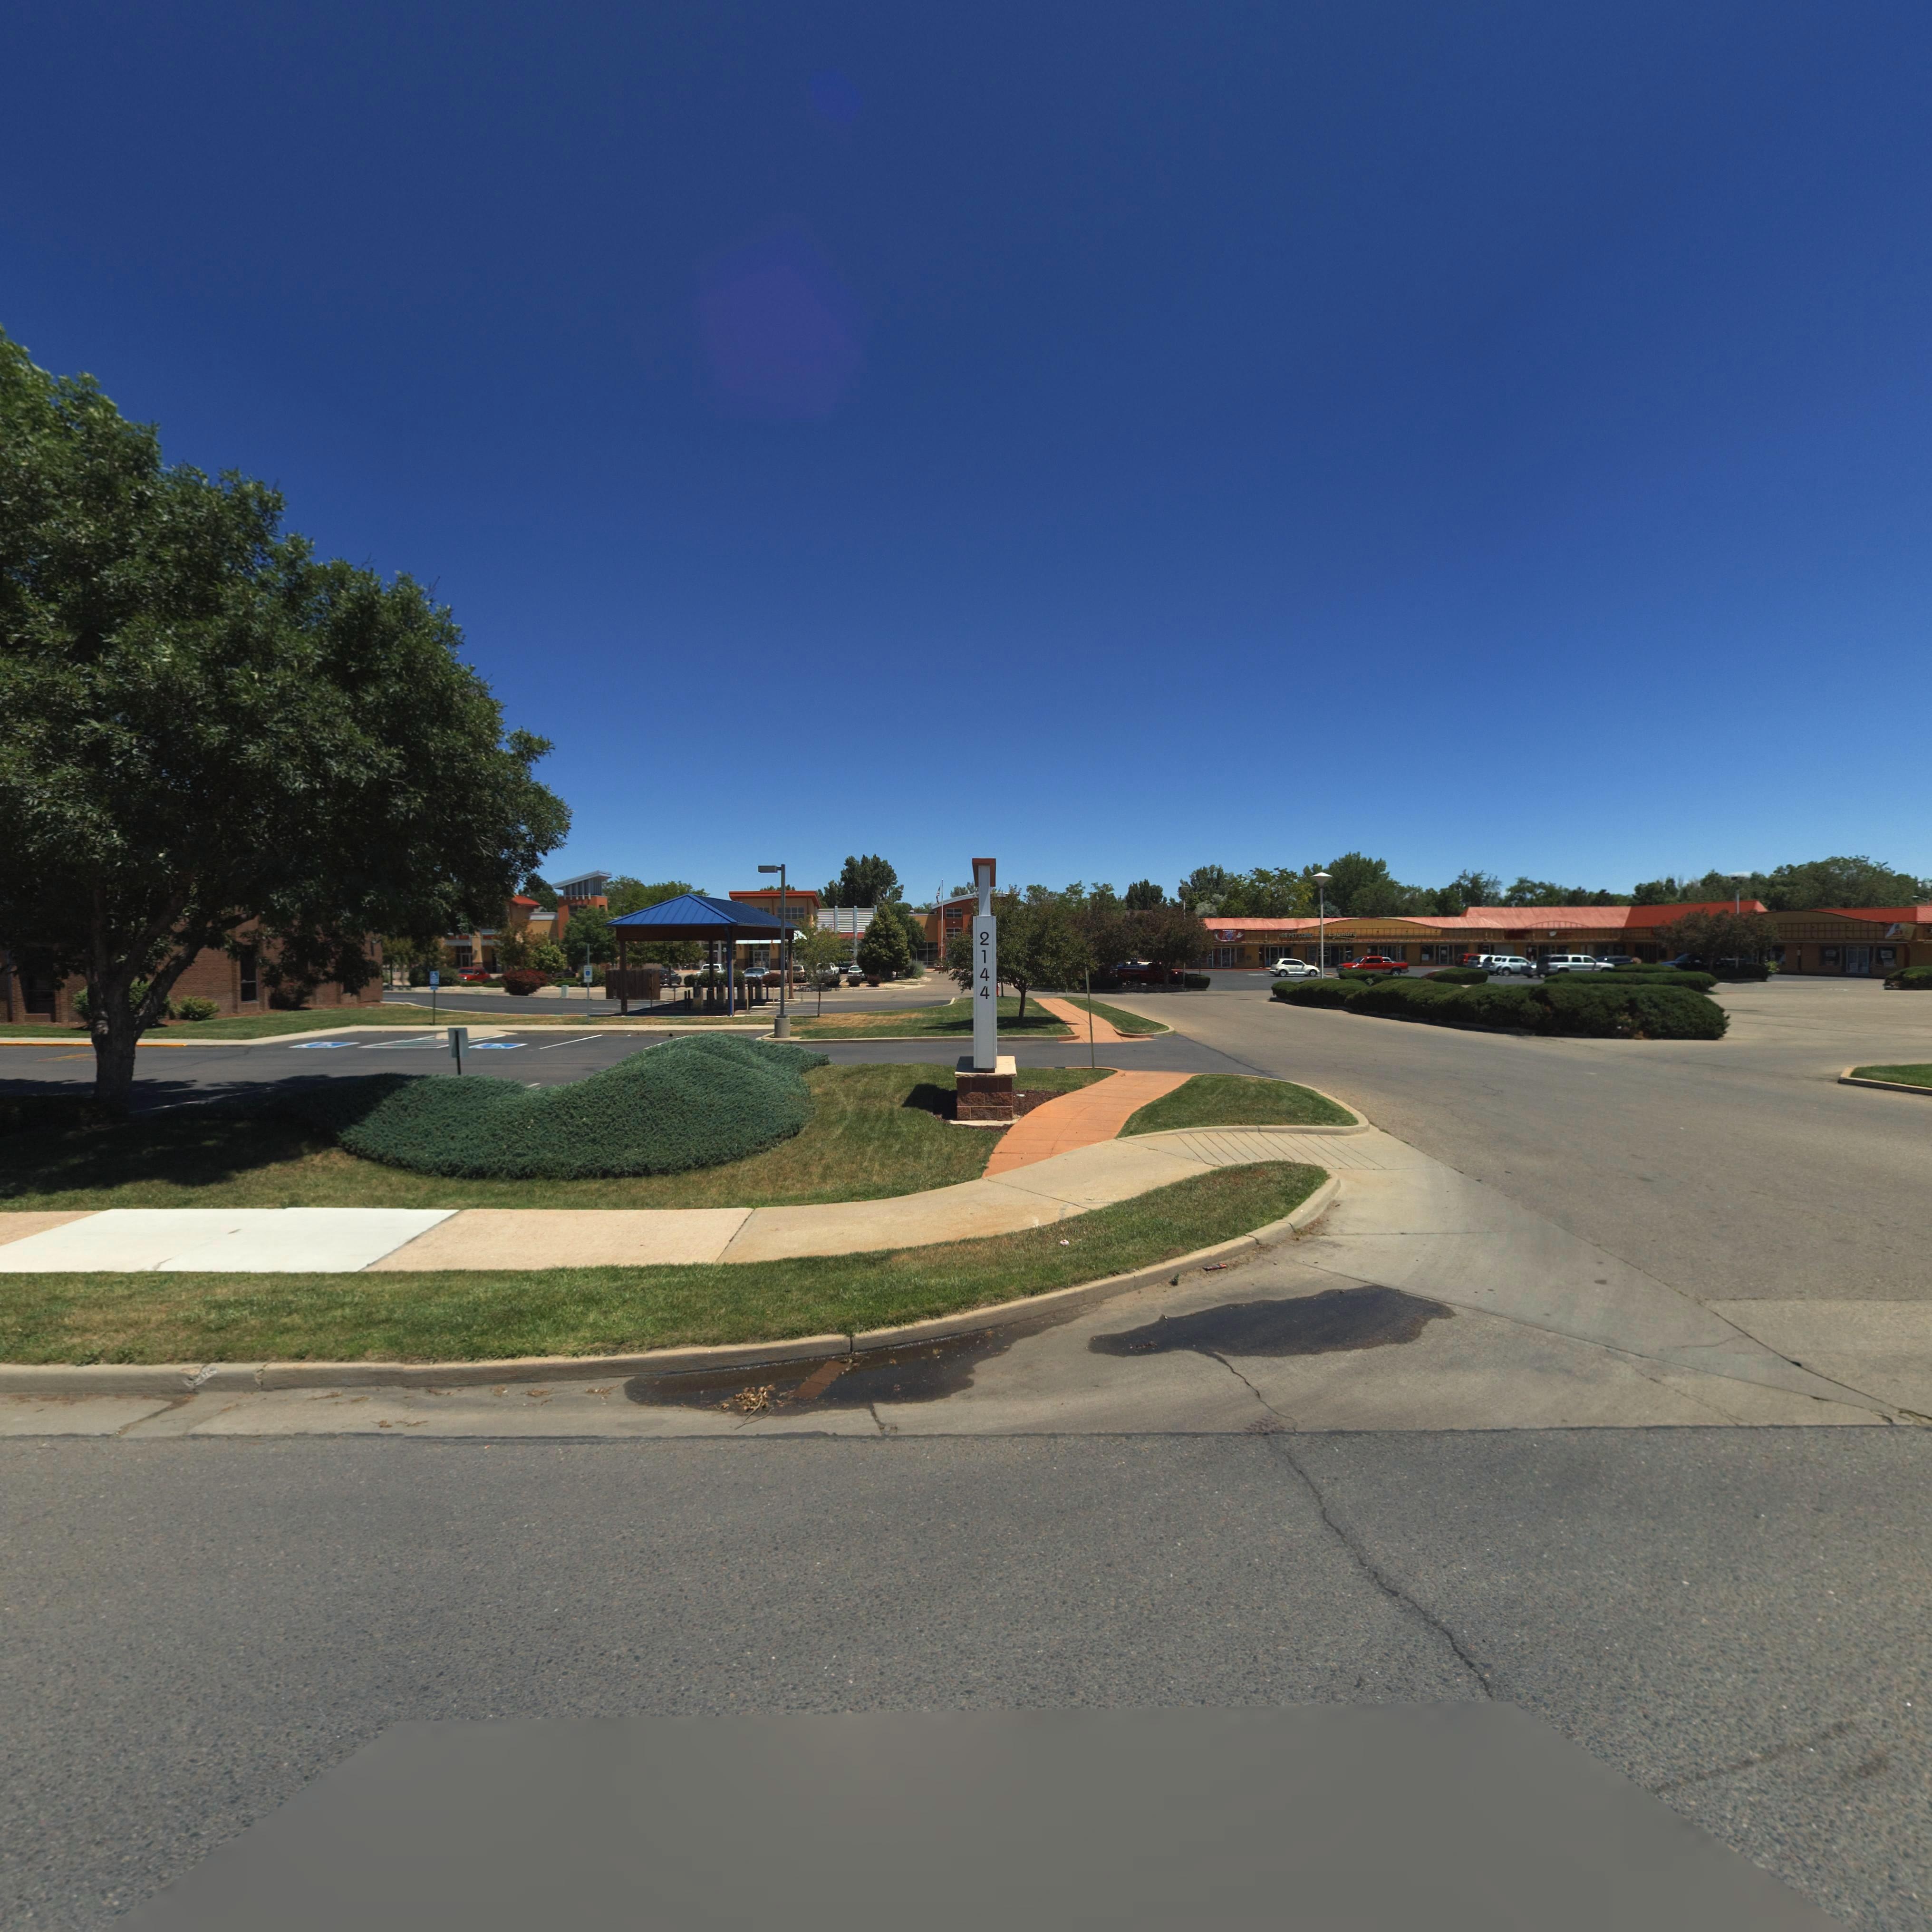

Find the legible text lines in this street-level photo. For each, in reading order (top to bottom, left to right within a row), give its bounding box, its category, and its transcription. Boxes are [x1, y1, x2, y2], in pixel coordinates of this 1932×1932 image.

[980, 932, 990, 999] StreetNumber: 2144
[1281, 932, 1313, 938] BusinessName: *E PET CLINIC